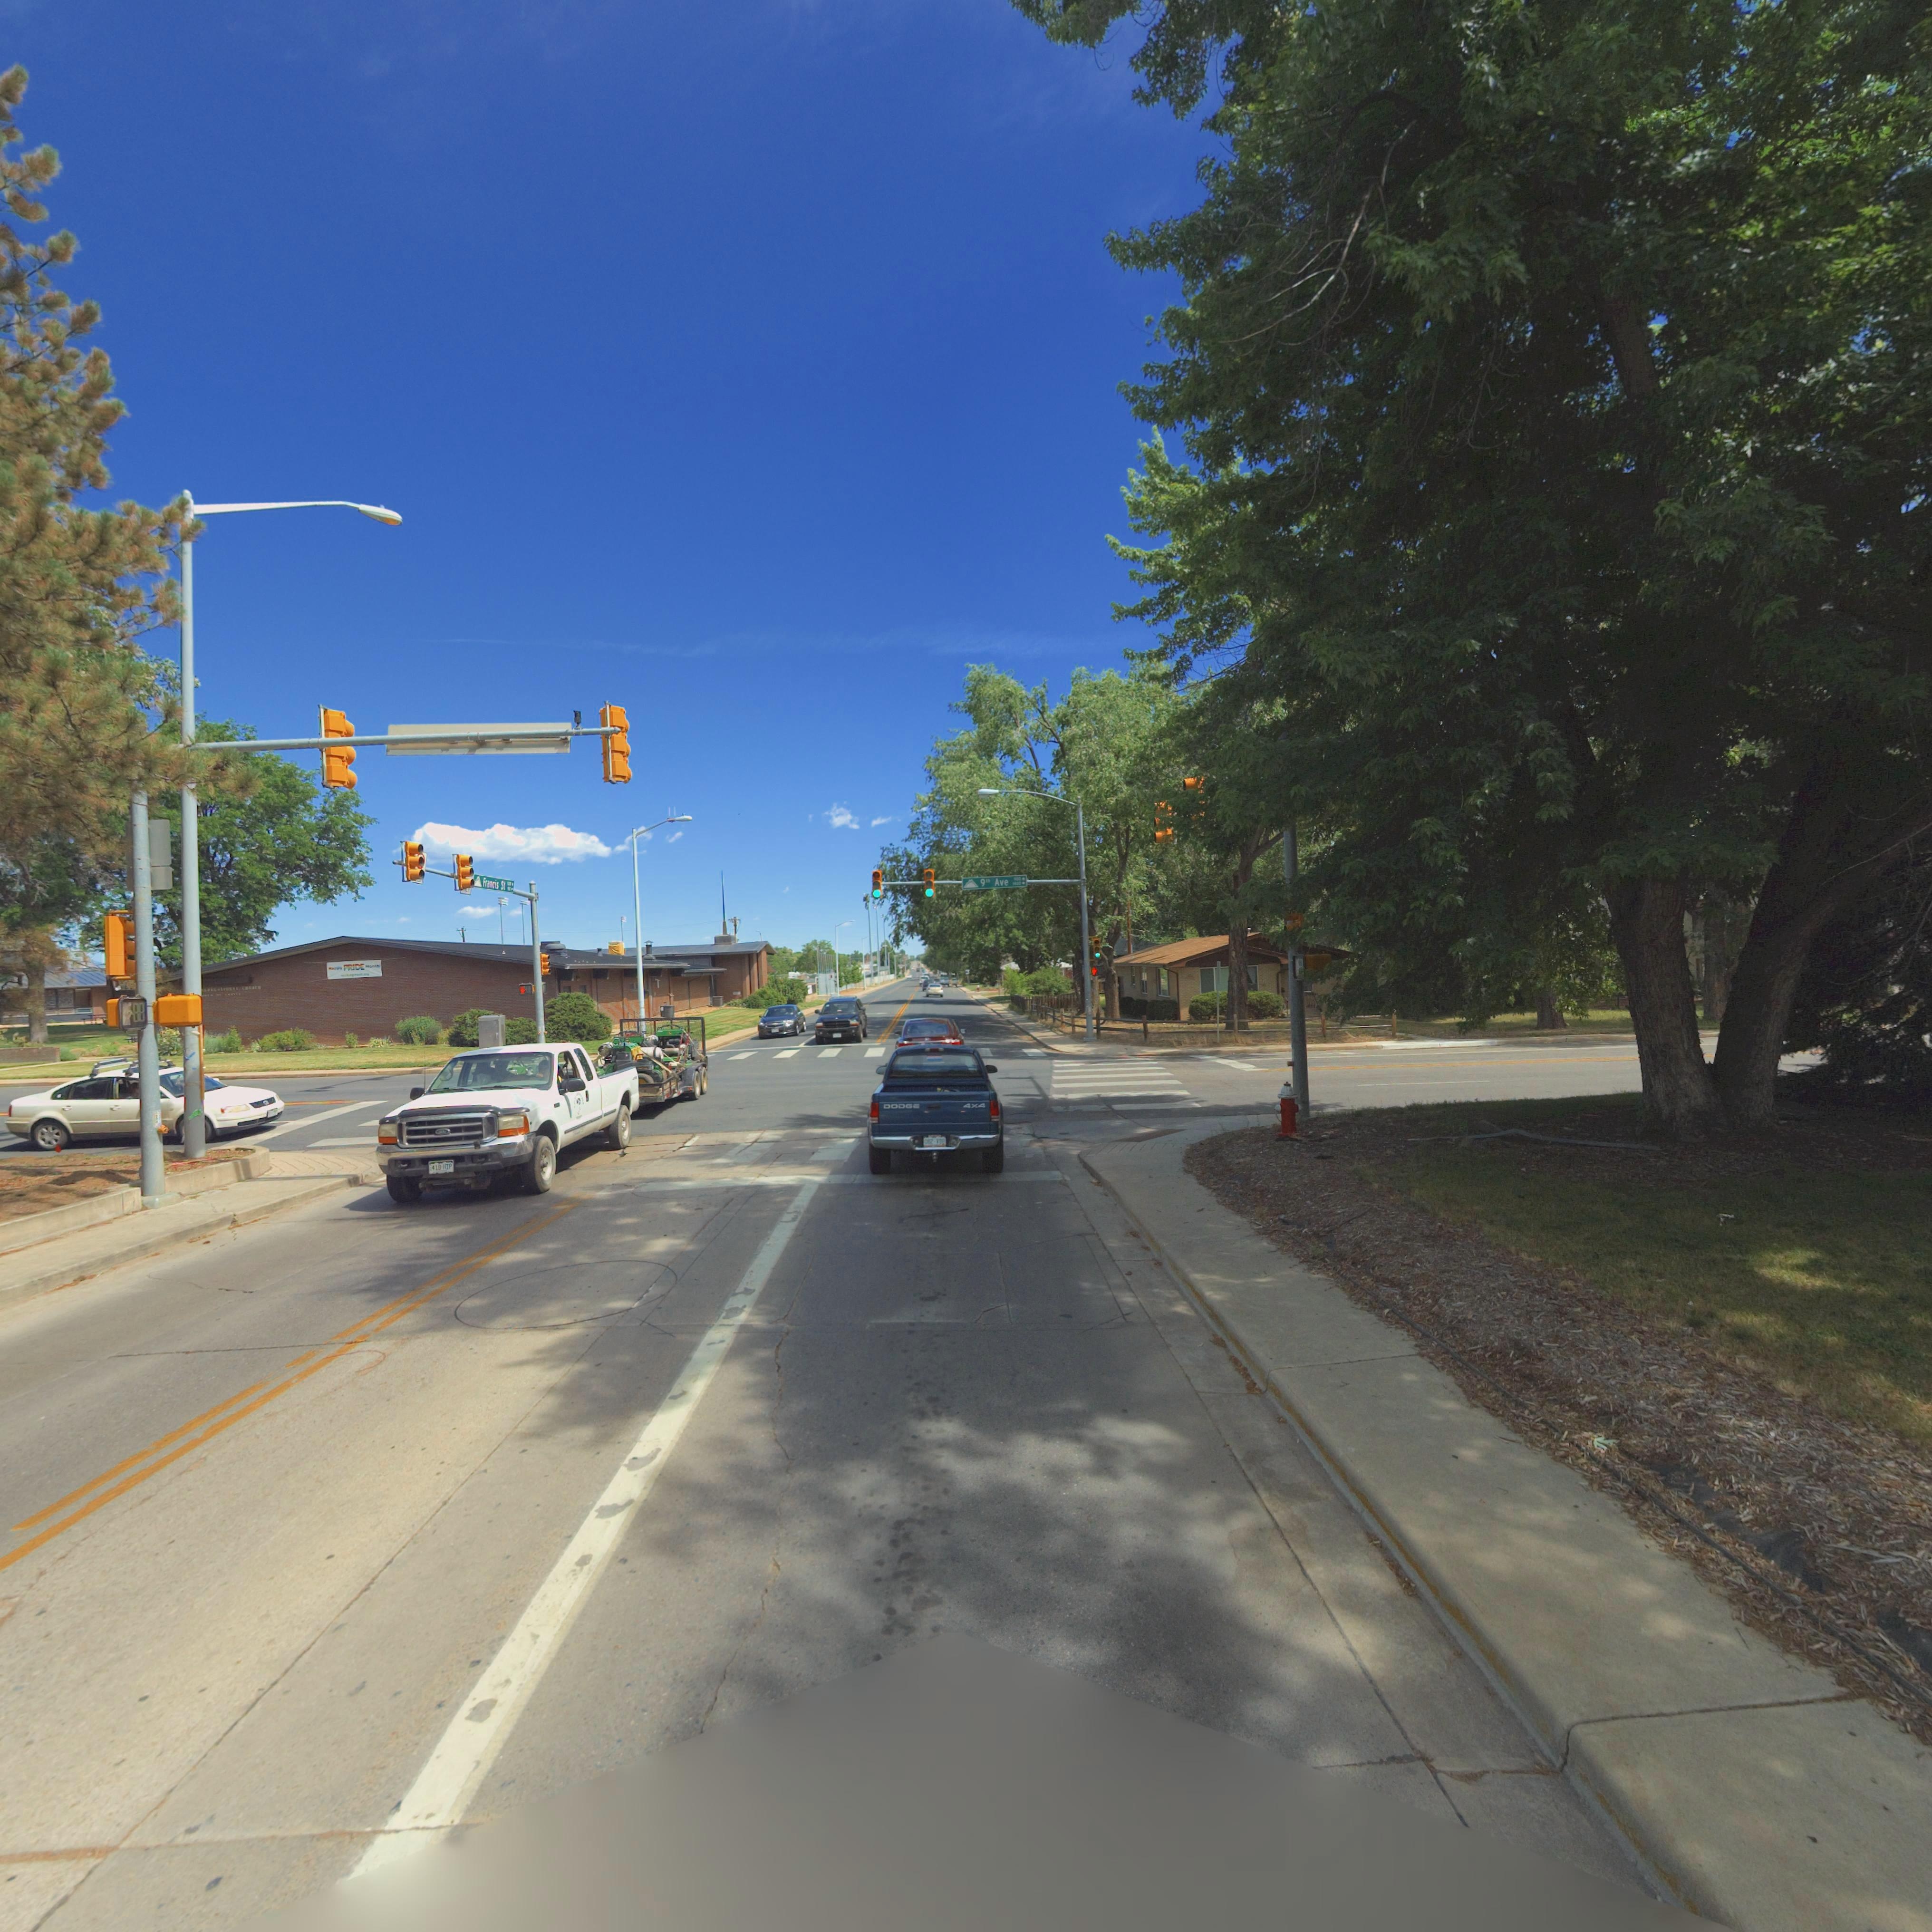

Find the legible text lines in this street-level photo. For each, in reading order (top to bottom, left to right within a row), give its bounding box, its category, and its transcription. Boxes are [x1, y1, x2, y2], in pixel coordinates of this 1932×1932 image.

[1014, 877, 1021, 880] StreetNumberRange: *00
[483, 877, 506, 890] StreetName: Francis St
[980, 878, 1008, 887] StreetName: 9th Ave
[1013, 881, 1025, 885] StreetNumberRange: 1400 ->
[201, 985, 261, 992] BusinessName: *********** CH**CH